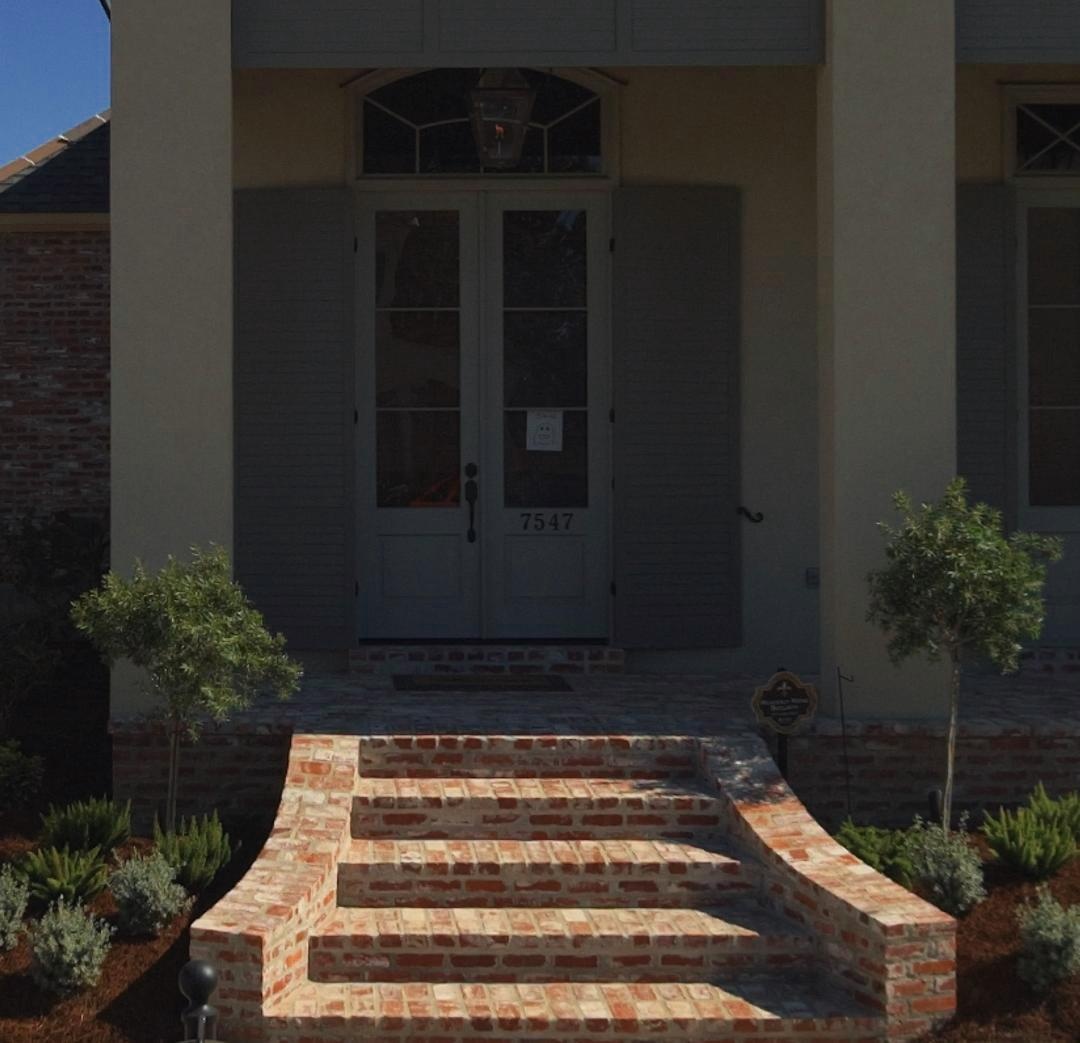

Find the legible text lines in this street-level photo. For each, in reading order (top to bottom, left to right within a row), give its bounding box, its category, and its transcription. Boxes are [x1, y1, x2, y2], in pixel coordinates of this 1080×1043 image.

[519, 512, 574, 531] StreetNumber: 7547